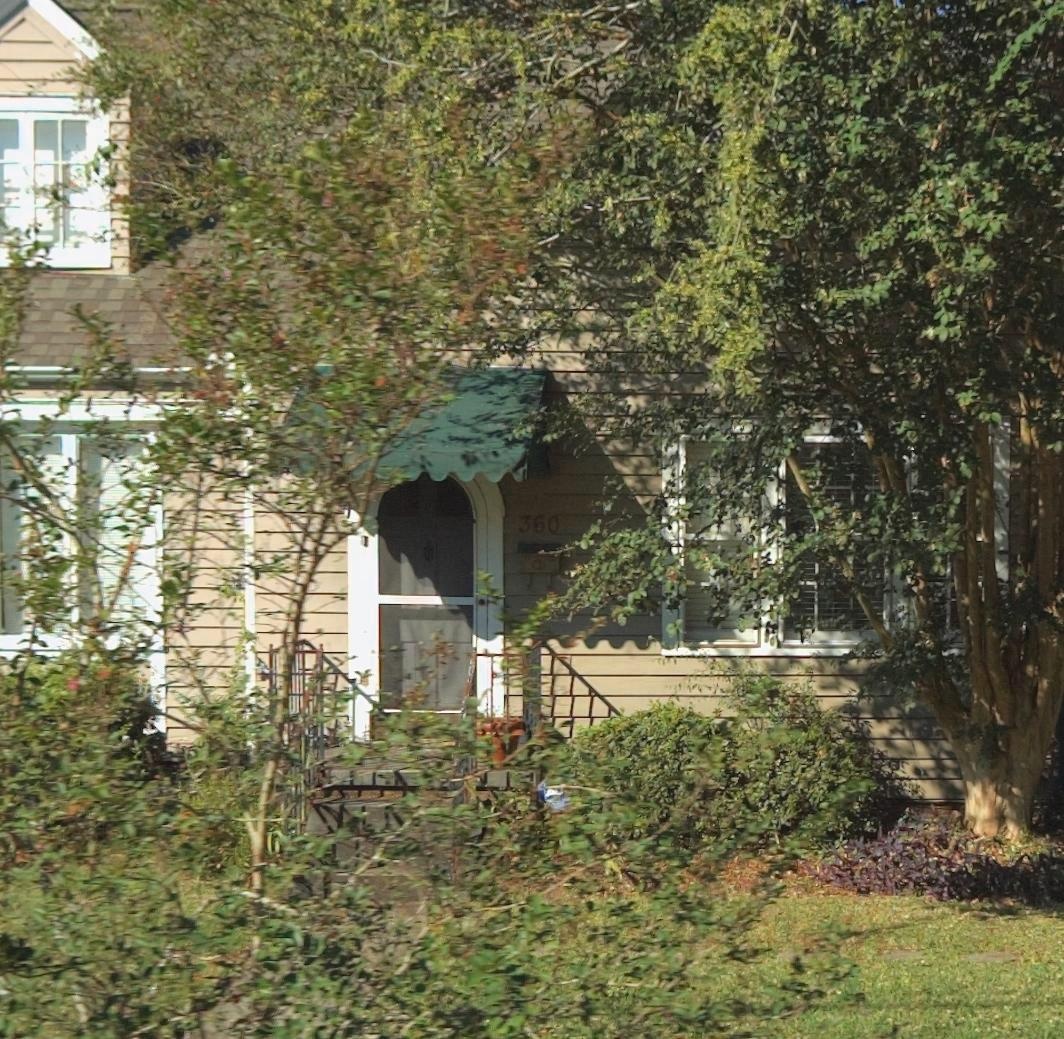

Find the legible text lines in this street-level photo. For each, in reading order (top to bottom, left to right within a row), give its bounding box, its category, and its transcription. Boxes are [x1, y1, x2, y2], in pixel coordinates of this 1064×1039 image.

[516, 512, 562, 536] StreetNumber: 360